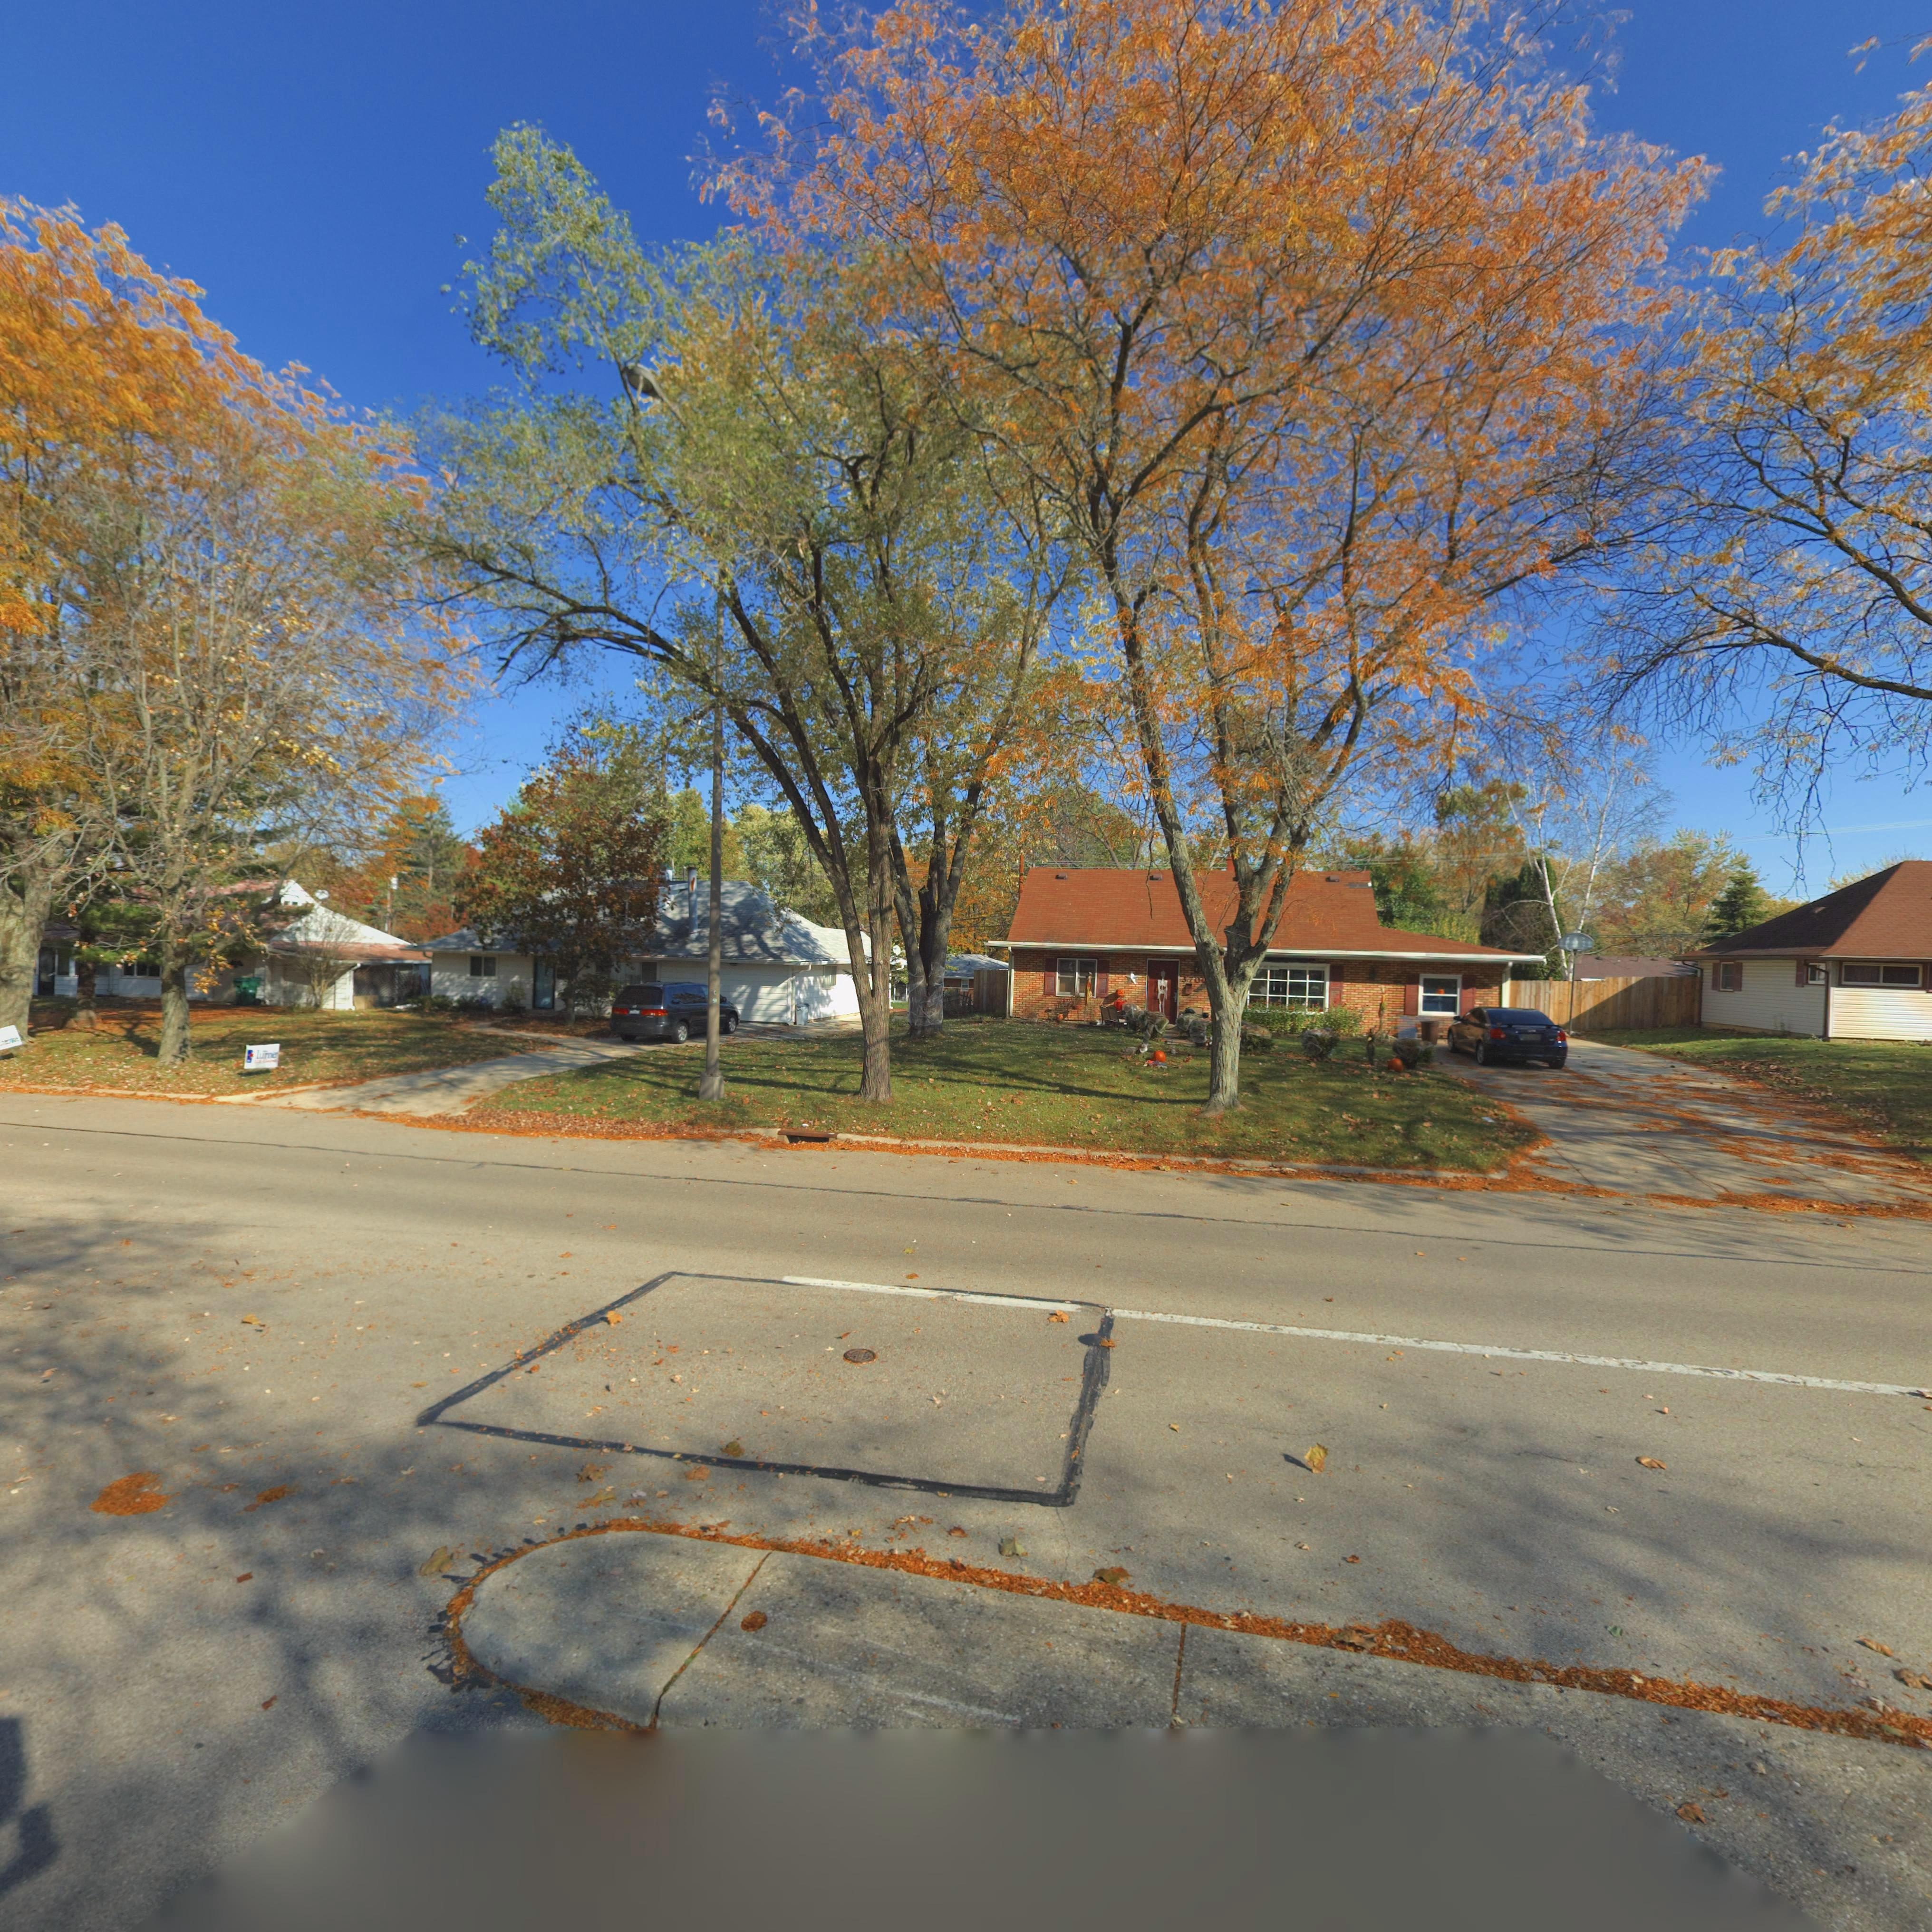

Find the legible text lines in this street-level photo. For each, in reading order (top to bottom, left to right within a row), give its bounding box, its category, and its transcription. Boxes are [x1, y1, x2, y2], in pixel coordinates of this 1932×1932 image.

[1181, 976, 1207, 984] StreetNumber: 370*
[714, 990, 717, 995] None: C
[712, 998, 717, 1004] None: 5*
[255, 1049, 279, 1059] None: Turner